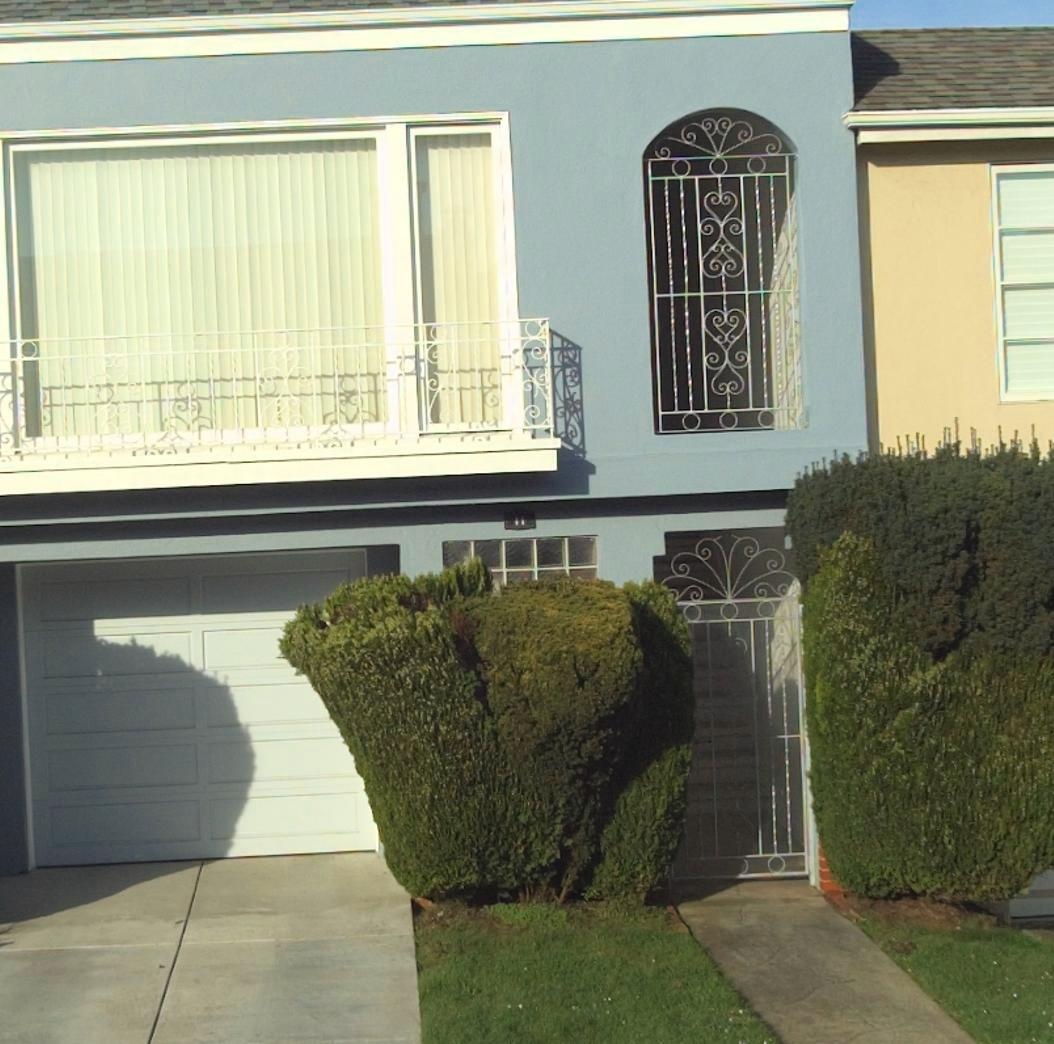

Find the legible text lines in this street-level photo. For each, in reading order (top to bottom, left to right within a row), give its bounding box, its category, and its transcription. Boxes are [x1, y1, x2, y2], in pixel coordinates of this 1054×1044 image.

[511, 512, 527, 528] StreetNumber: 11